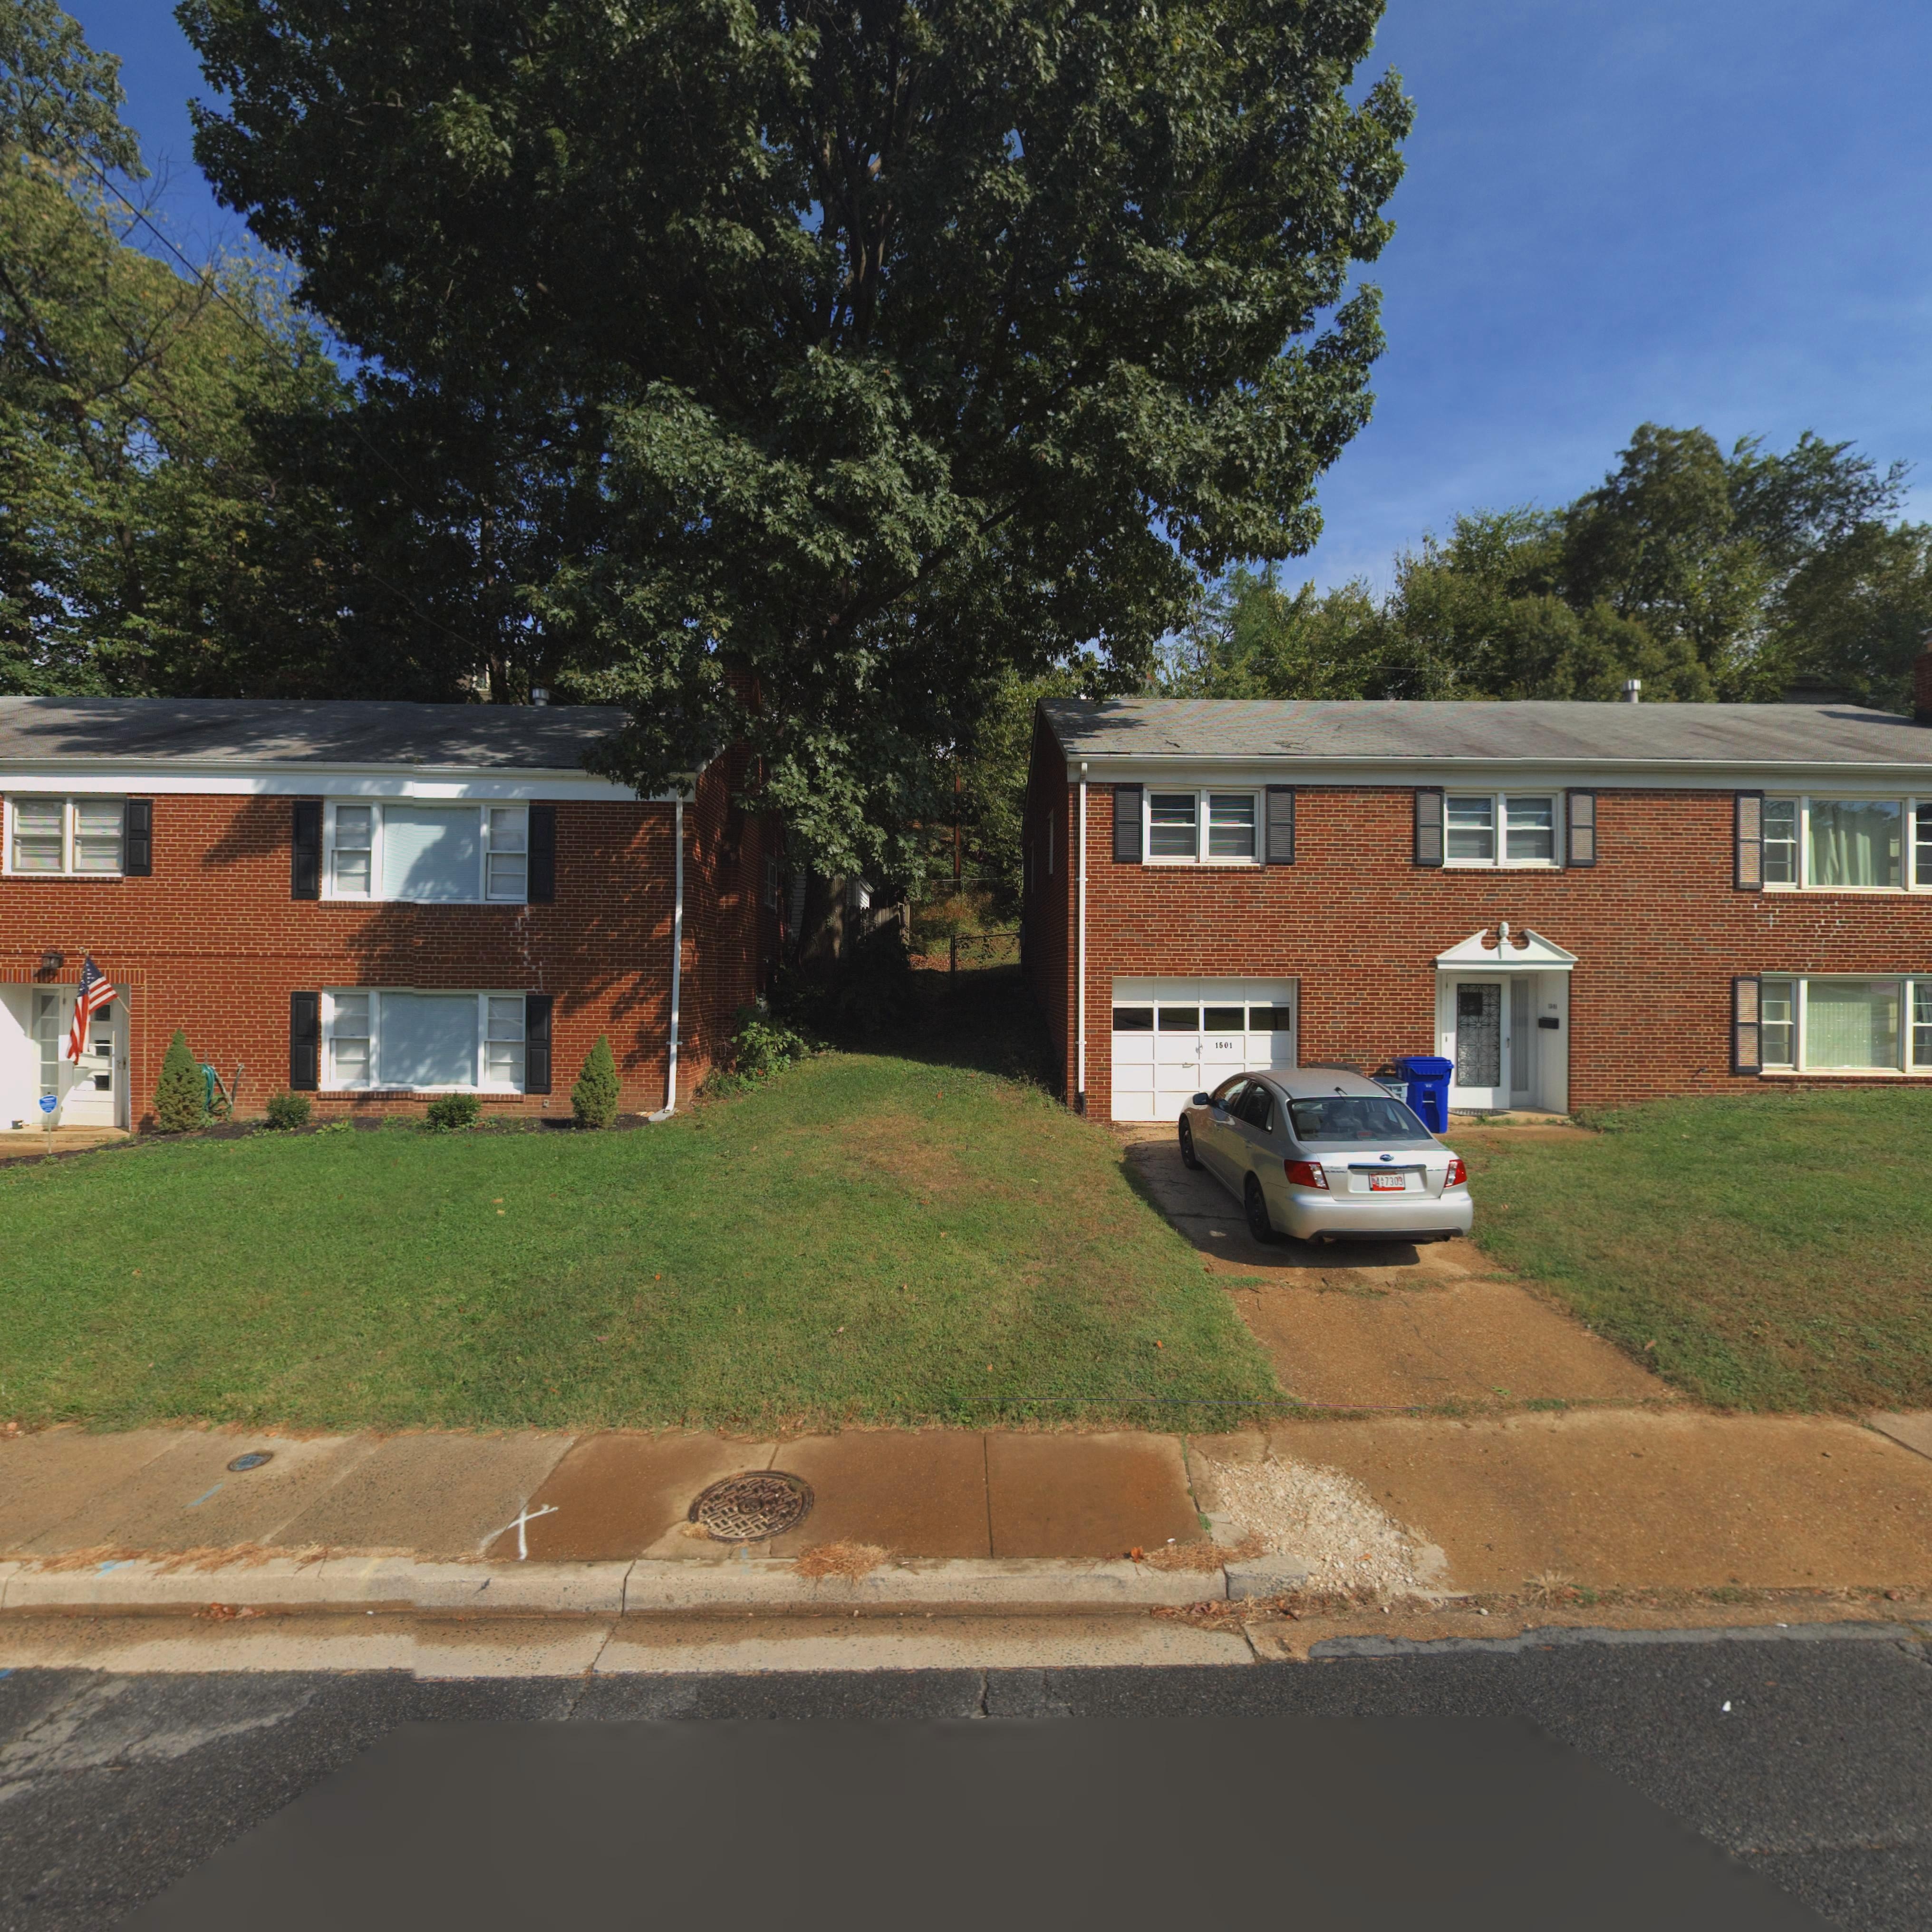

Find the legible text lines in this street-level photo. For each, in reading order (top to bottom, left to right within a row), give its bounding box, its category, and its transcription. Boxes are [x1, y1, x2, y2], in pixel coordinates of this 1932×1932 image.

[1215, 1042, 1233, 1049] StreetNumber: 1501
[1375, 1177, 1380, 1186] None: 4
[1380, 1177, 1384, 1186] None: AY
[1384, 1176, 1403, 1186] None: 7303